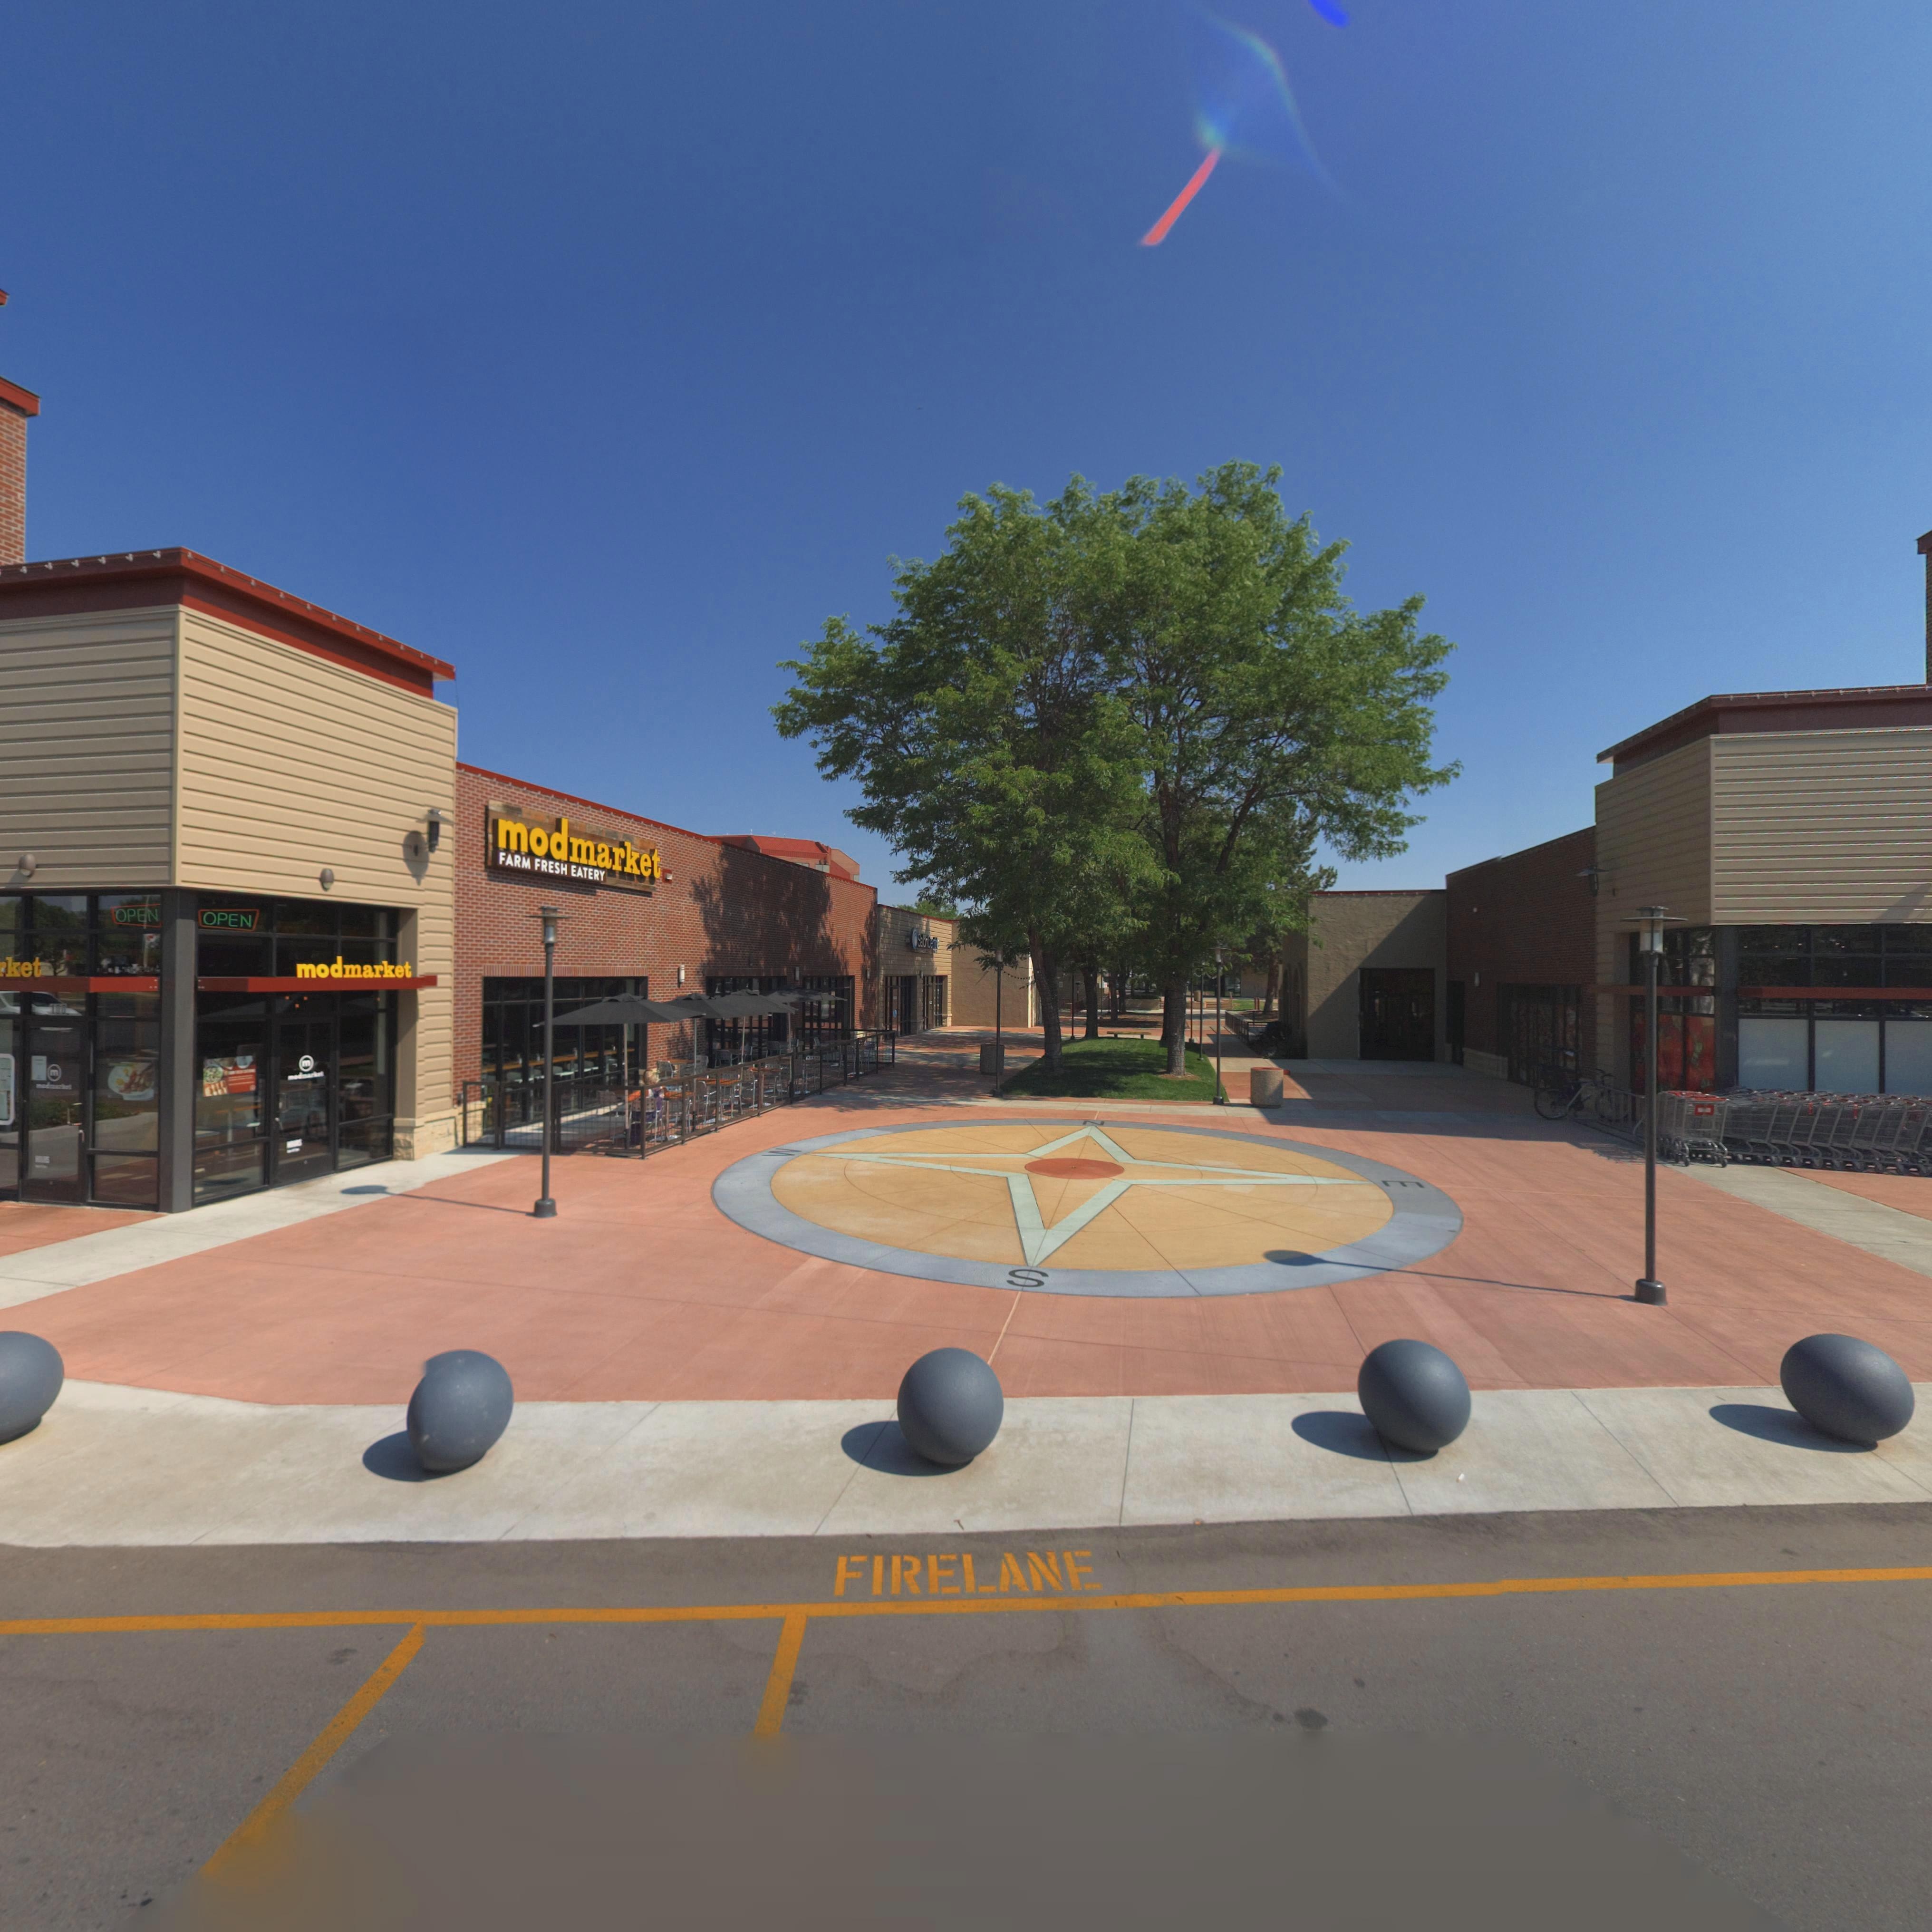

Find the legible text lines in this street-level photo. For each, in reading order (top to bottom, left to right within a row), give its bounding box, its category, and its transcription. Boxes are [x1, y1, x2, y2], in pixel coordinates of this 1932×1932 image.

[497, 817, 661, 879] BusinessName: modmarket
[499, 850, 606, 882] BusinessName: FARM FRESH EATERY
[917, 933, 940, 949] BusinessName: SalonCe*te
[5, 956, 41, 977] BusinessName: ket
[295, 955, 412, 978] BusinessName: modmarket
[50, 1004, 66, 1014] StreetNumber: 100
[301, 1059, 311, 1067] BusinessName: m
[49, 1069, 59, 1076] BusinessName: m
[288, 1070, 324, 1081] BusinessName: mod**rk*t
[36, 1081, 72, 1090] BusinessName: mod***ket